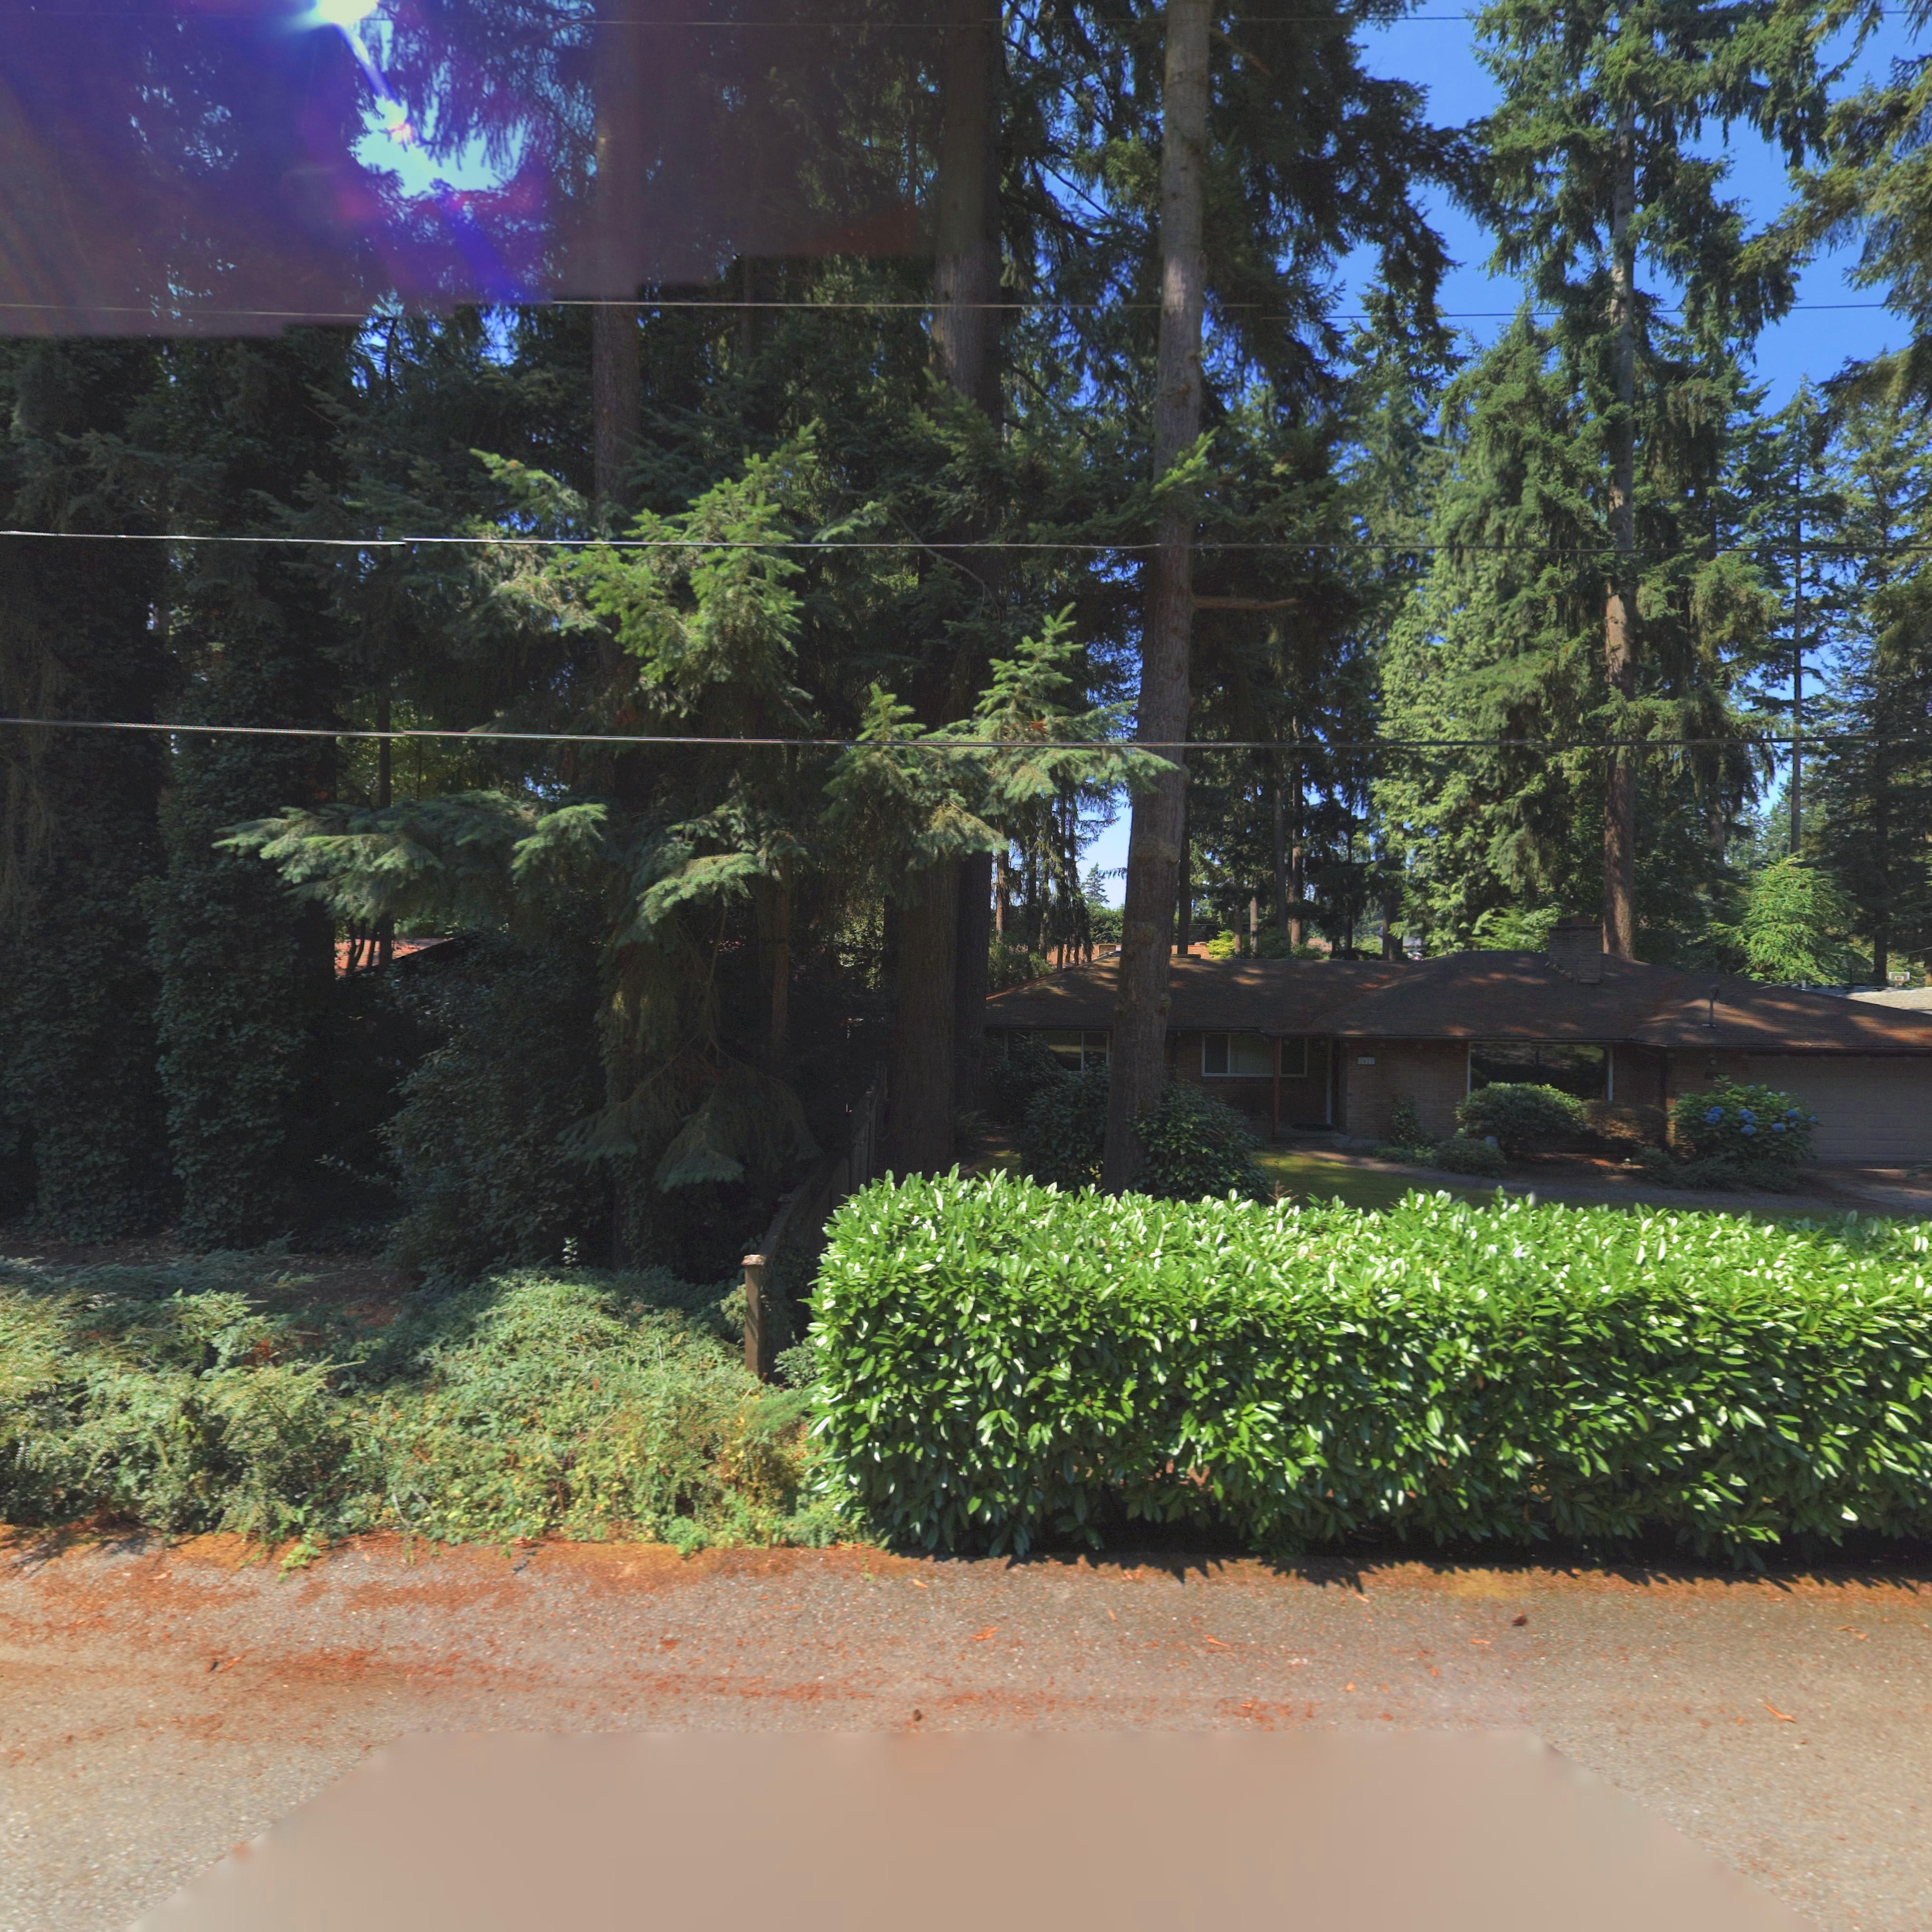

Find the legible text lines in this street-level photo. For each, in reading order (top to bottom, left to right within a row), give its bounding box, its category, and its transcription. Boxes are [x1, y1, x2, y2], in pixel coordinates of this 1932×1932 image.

[1358, 1058, 1374, 1064] StreetNumber: 2421